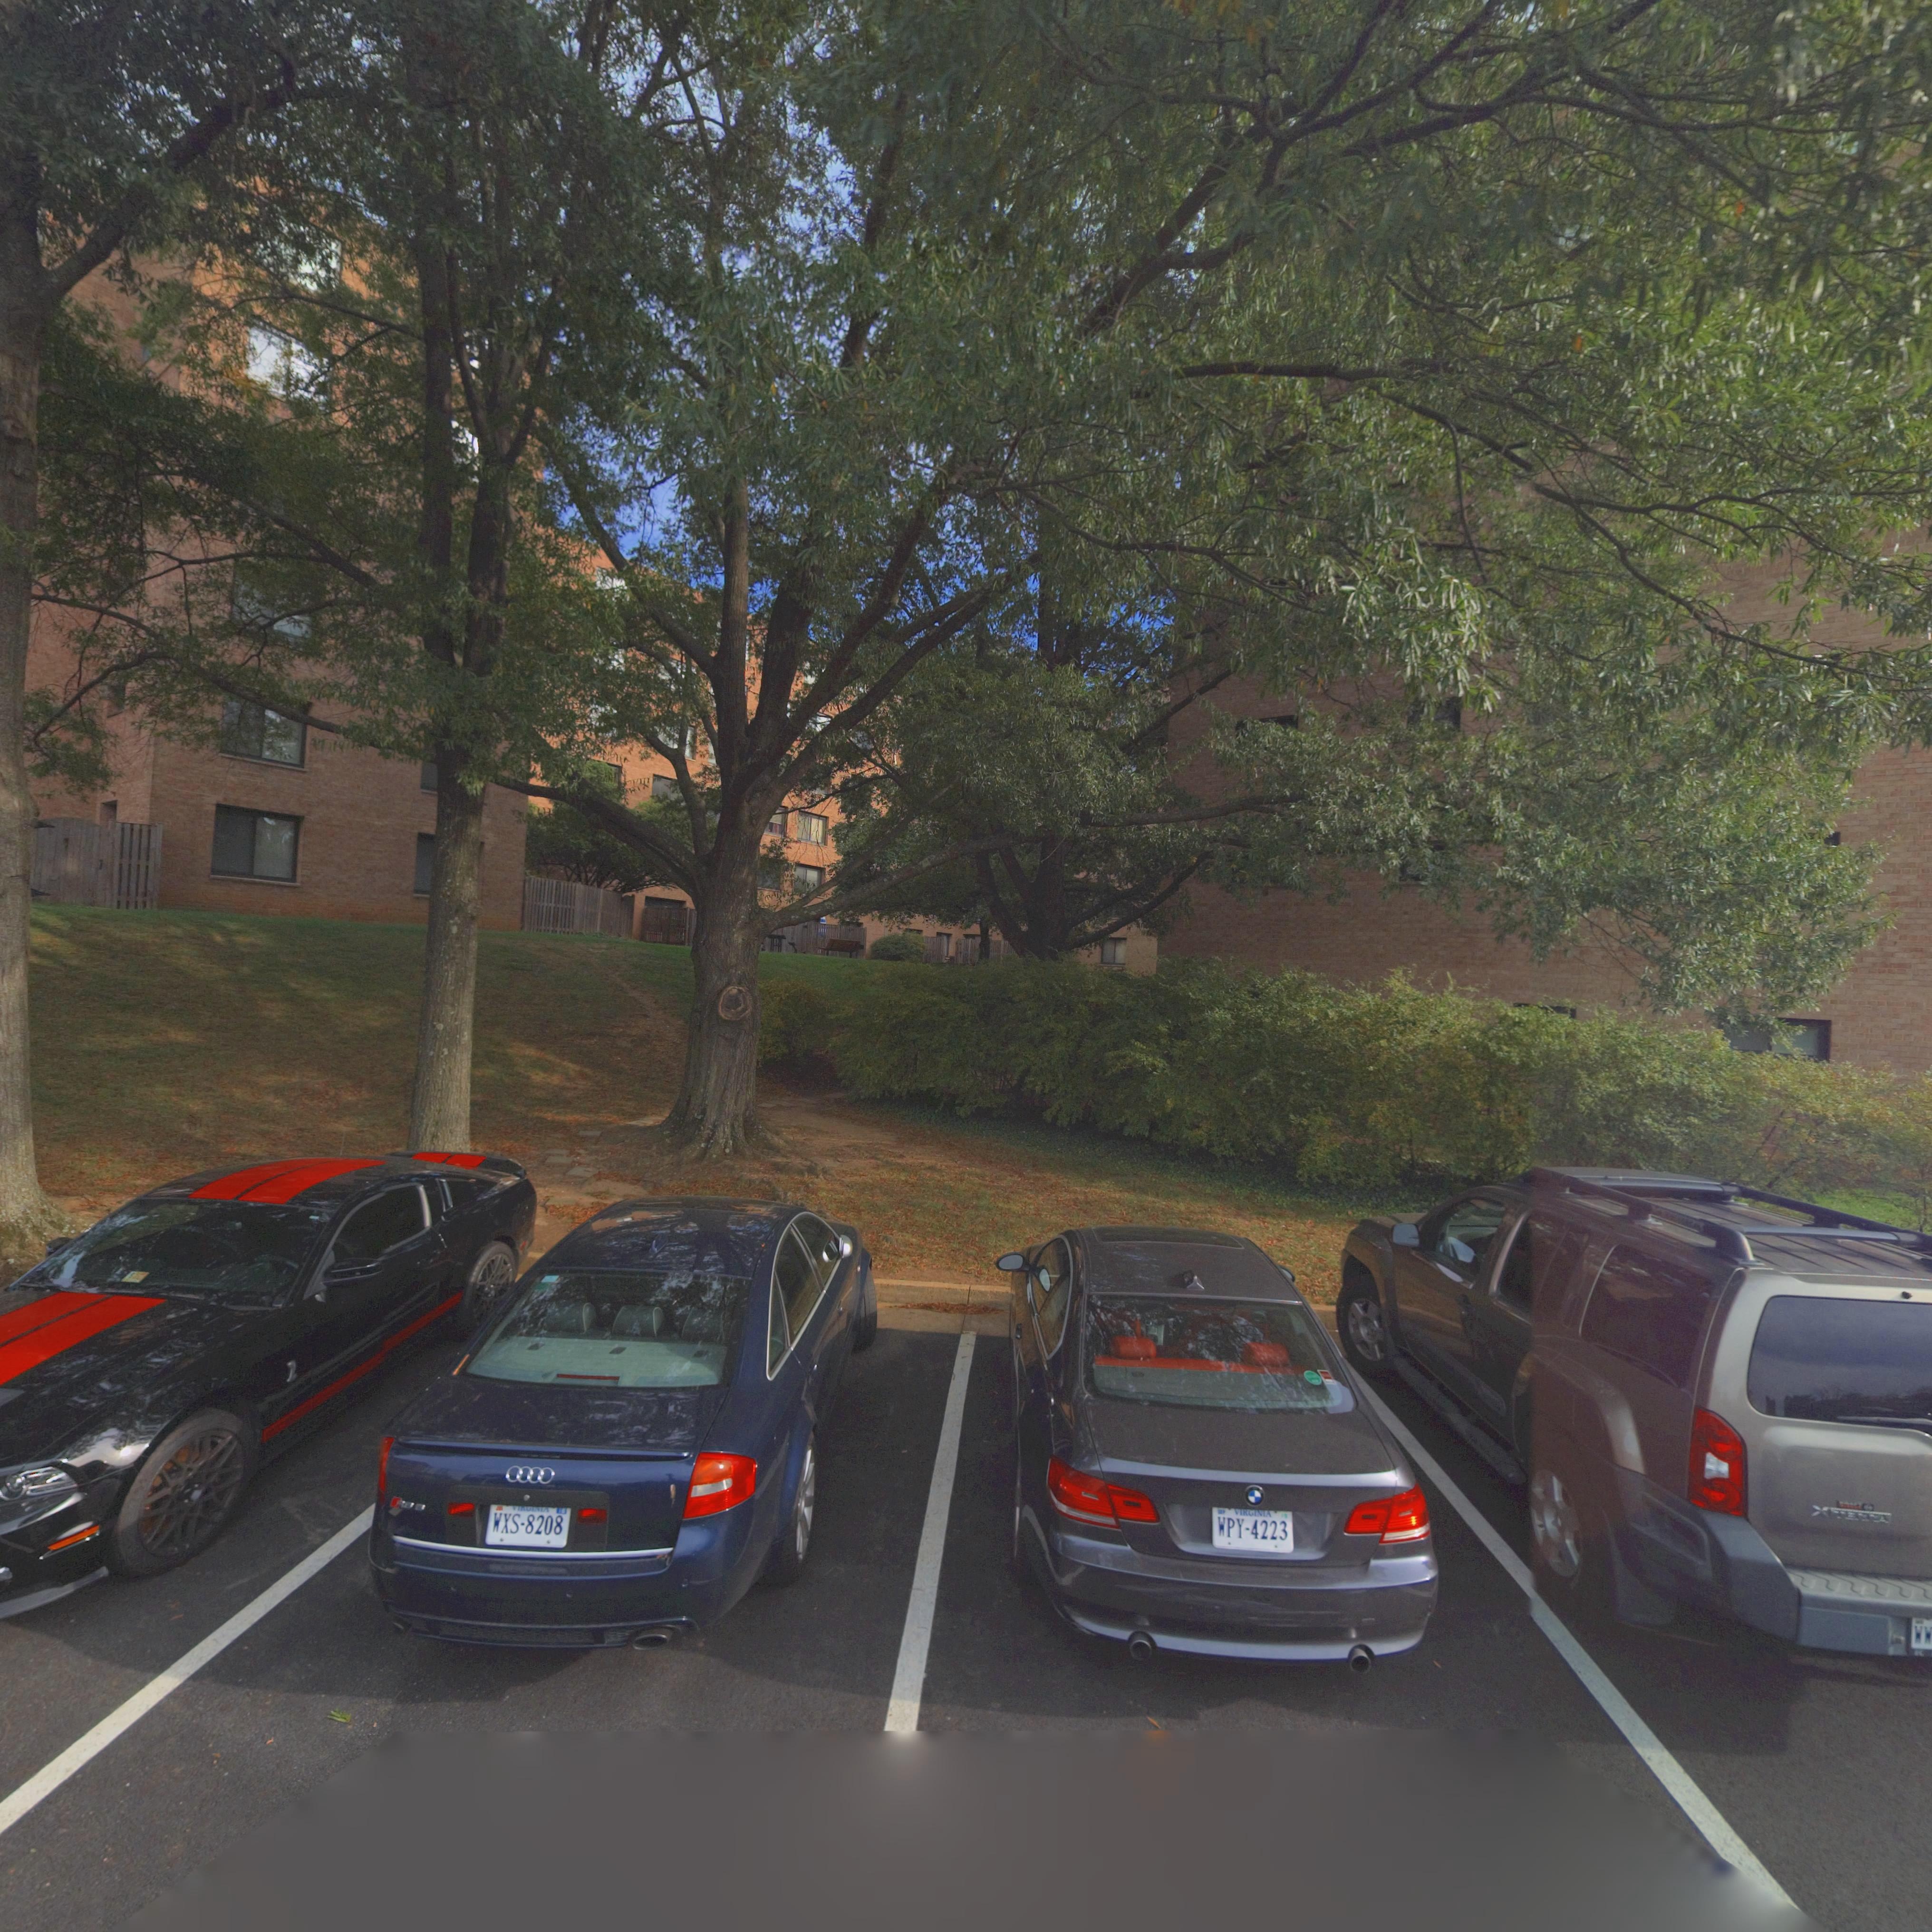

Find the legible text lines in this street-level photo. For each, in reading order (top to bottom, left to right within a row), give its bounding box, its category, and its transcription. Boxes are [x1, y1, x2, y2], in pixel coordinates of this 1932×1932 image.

[394, 1499, 428, 1513] None: R88
[492, 1512, 563, 1536] None: WXS-8208
[1217, 1509, 1225, 1515] None: SEP
[1217, 1516, 1288, 1542] None: WPY-4223
[1232, 1508, 1273, 1518] None: VIRGINIA
[1810, 1505, 1891, 1526] None: XTERRA
[1914, 1625, 1932, 1646] None: WW